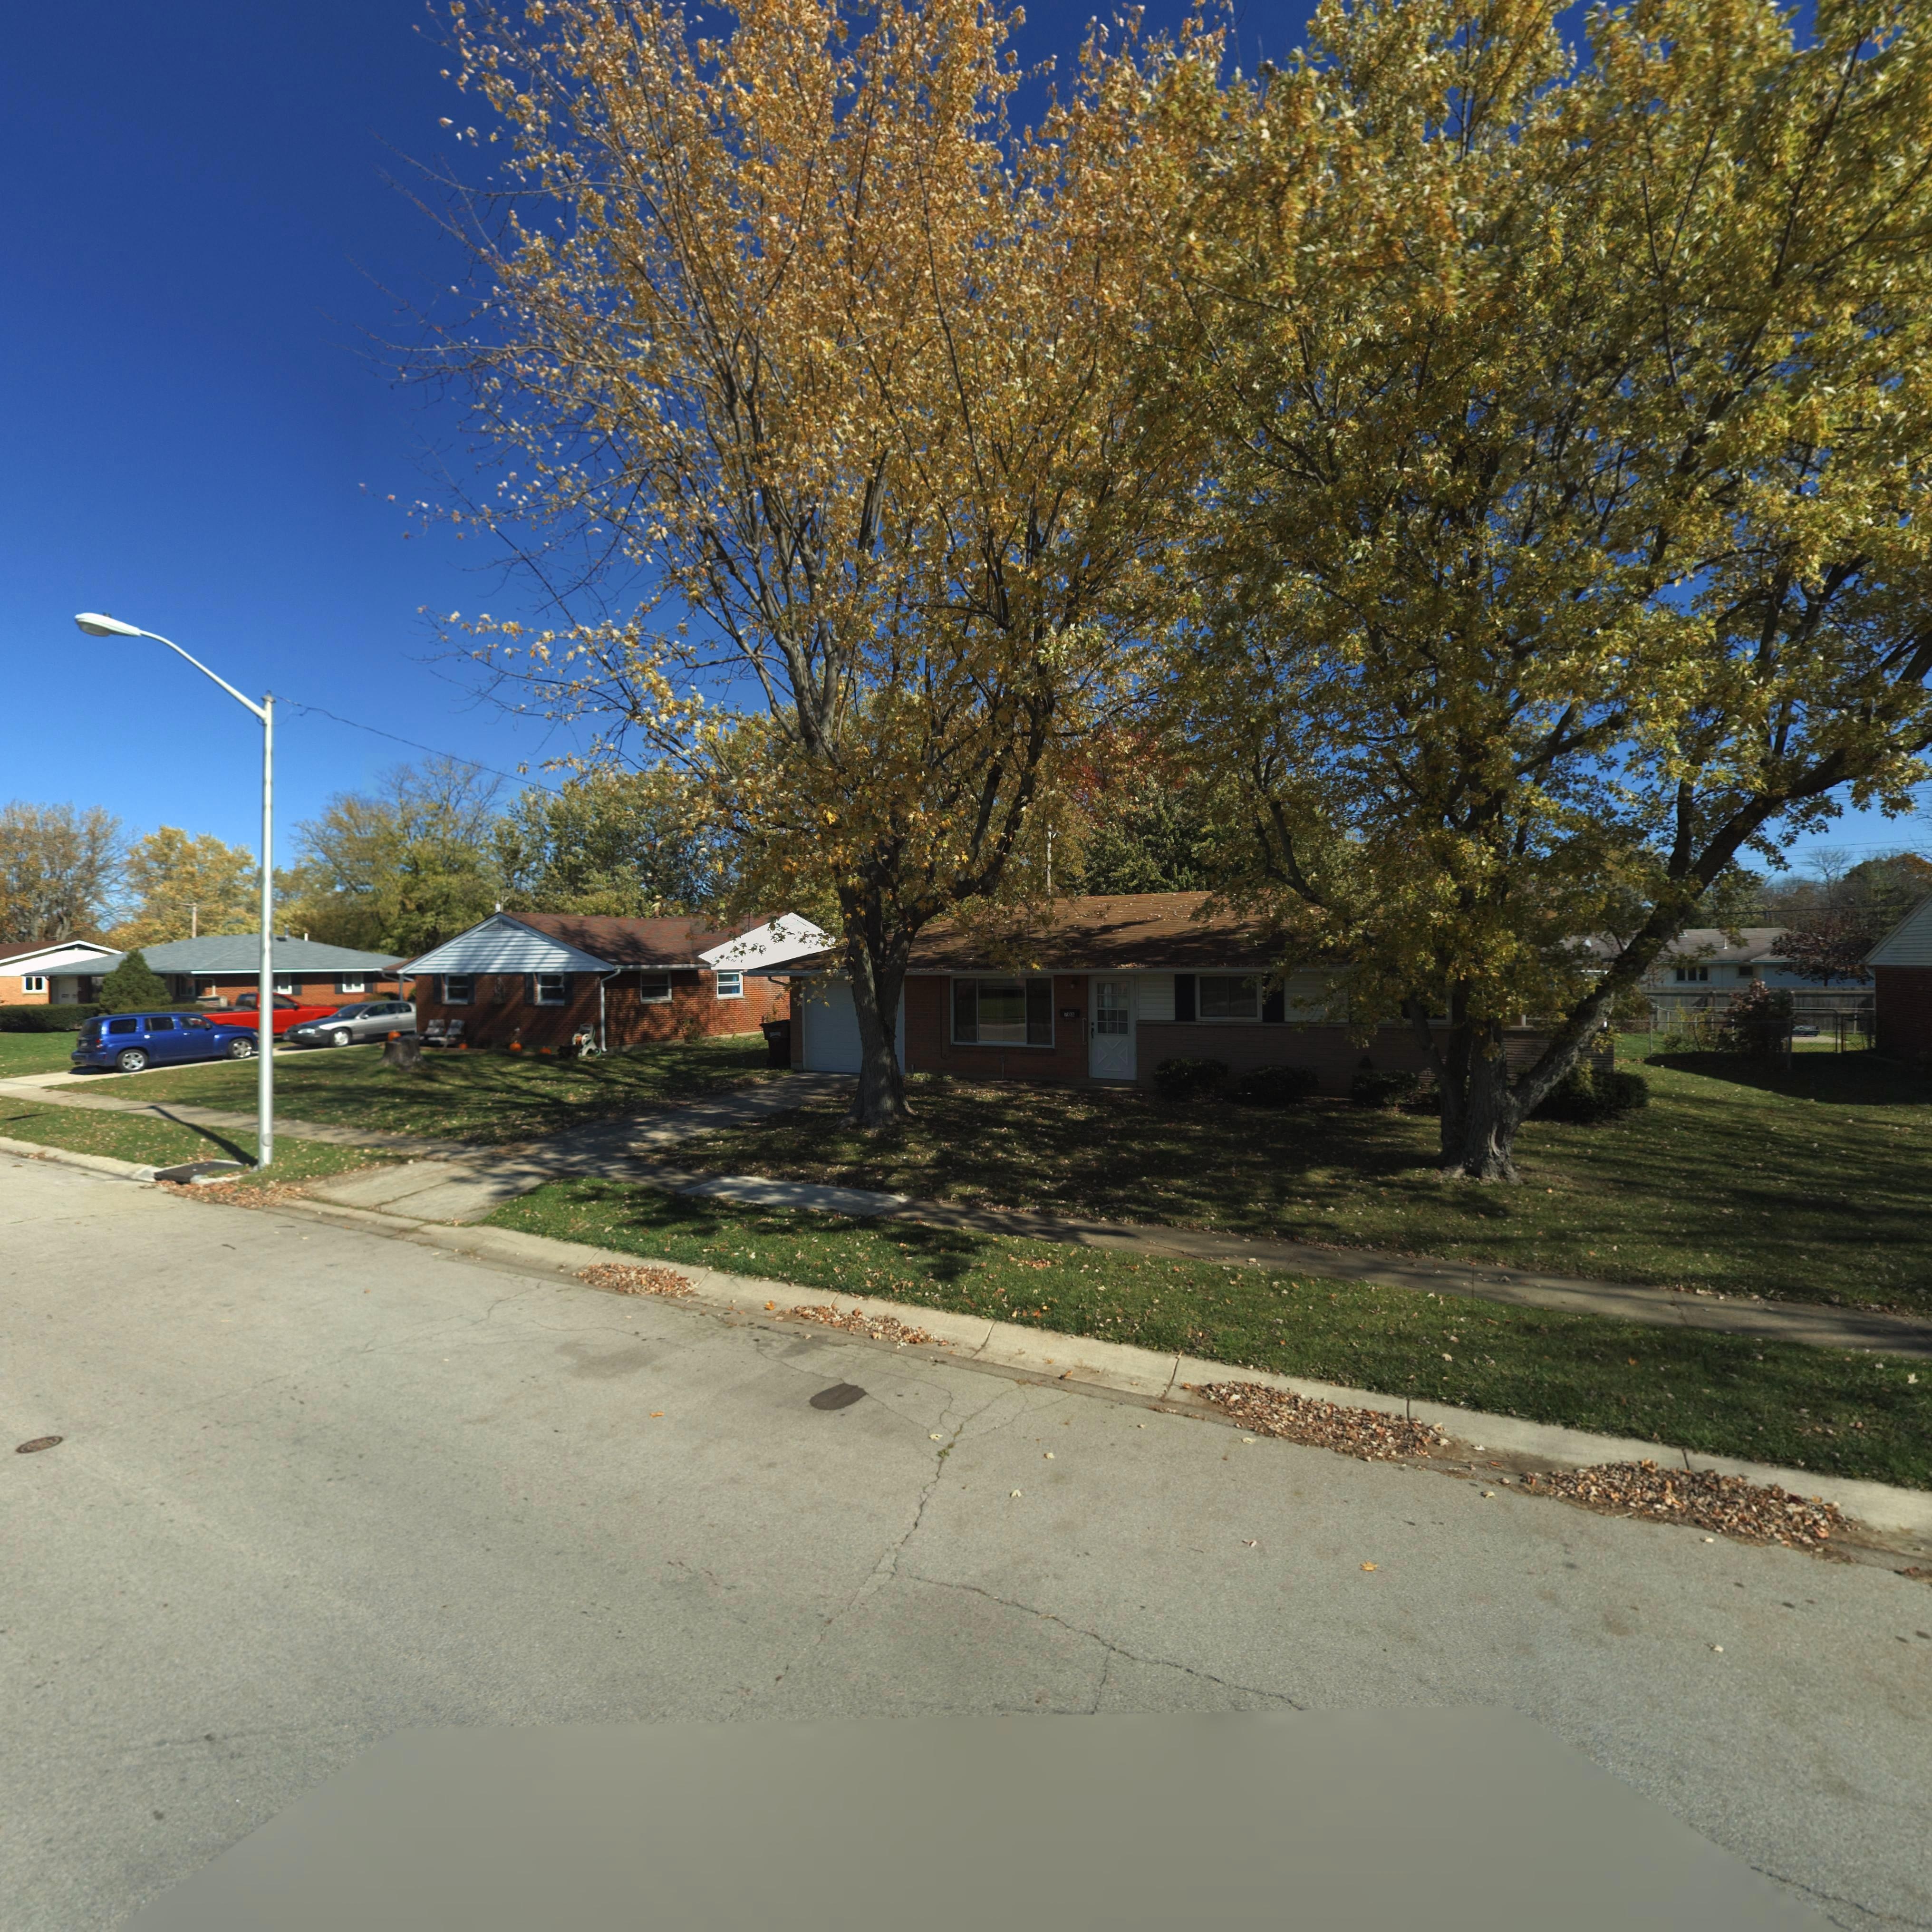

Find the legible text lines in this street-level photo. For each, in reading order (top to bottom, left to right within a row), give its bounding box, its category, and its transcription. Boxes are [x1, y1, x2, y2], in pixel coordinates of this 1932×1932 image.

[1064, 1012, 1075, 1017] StreetNumber: 70*